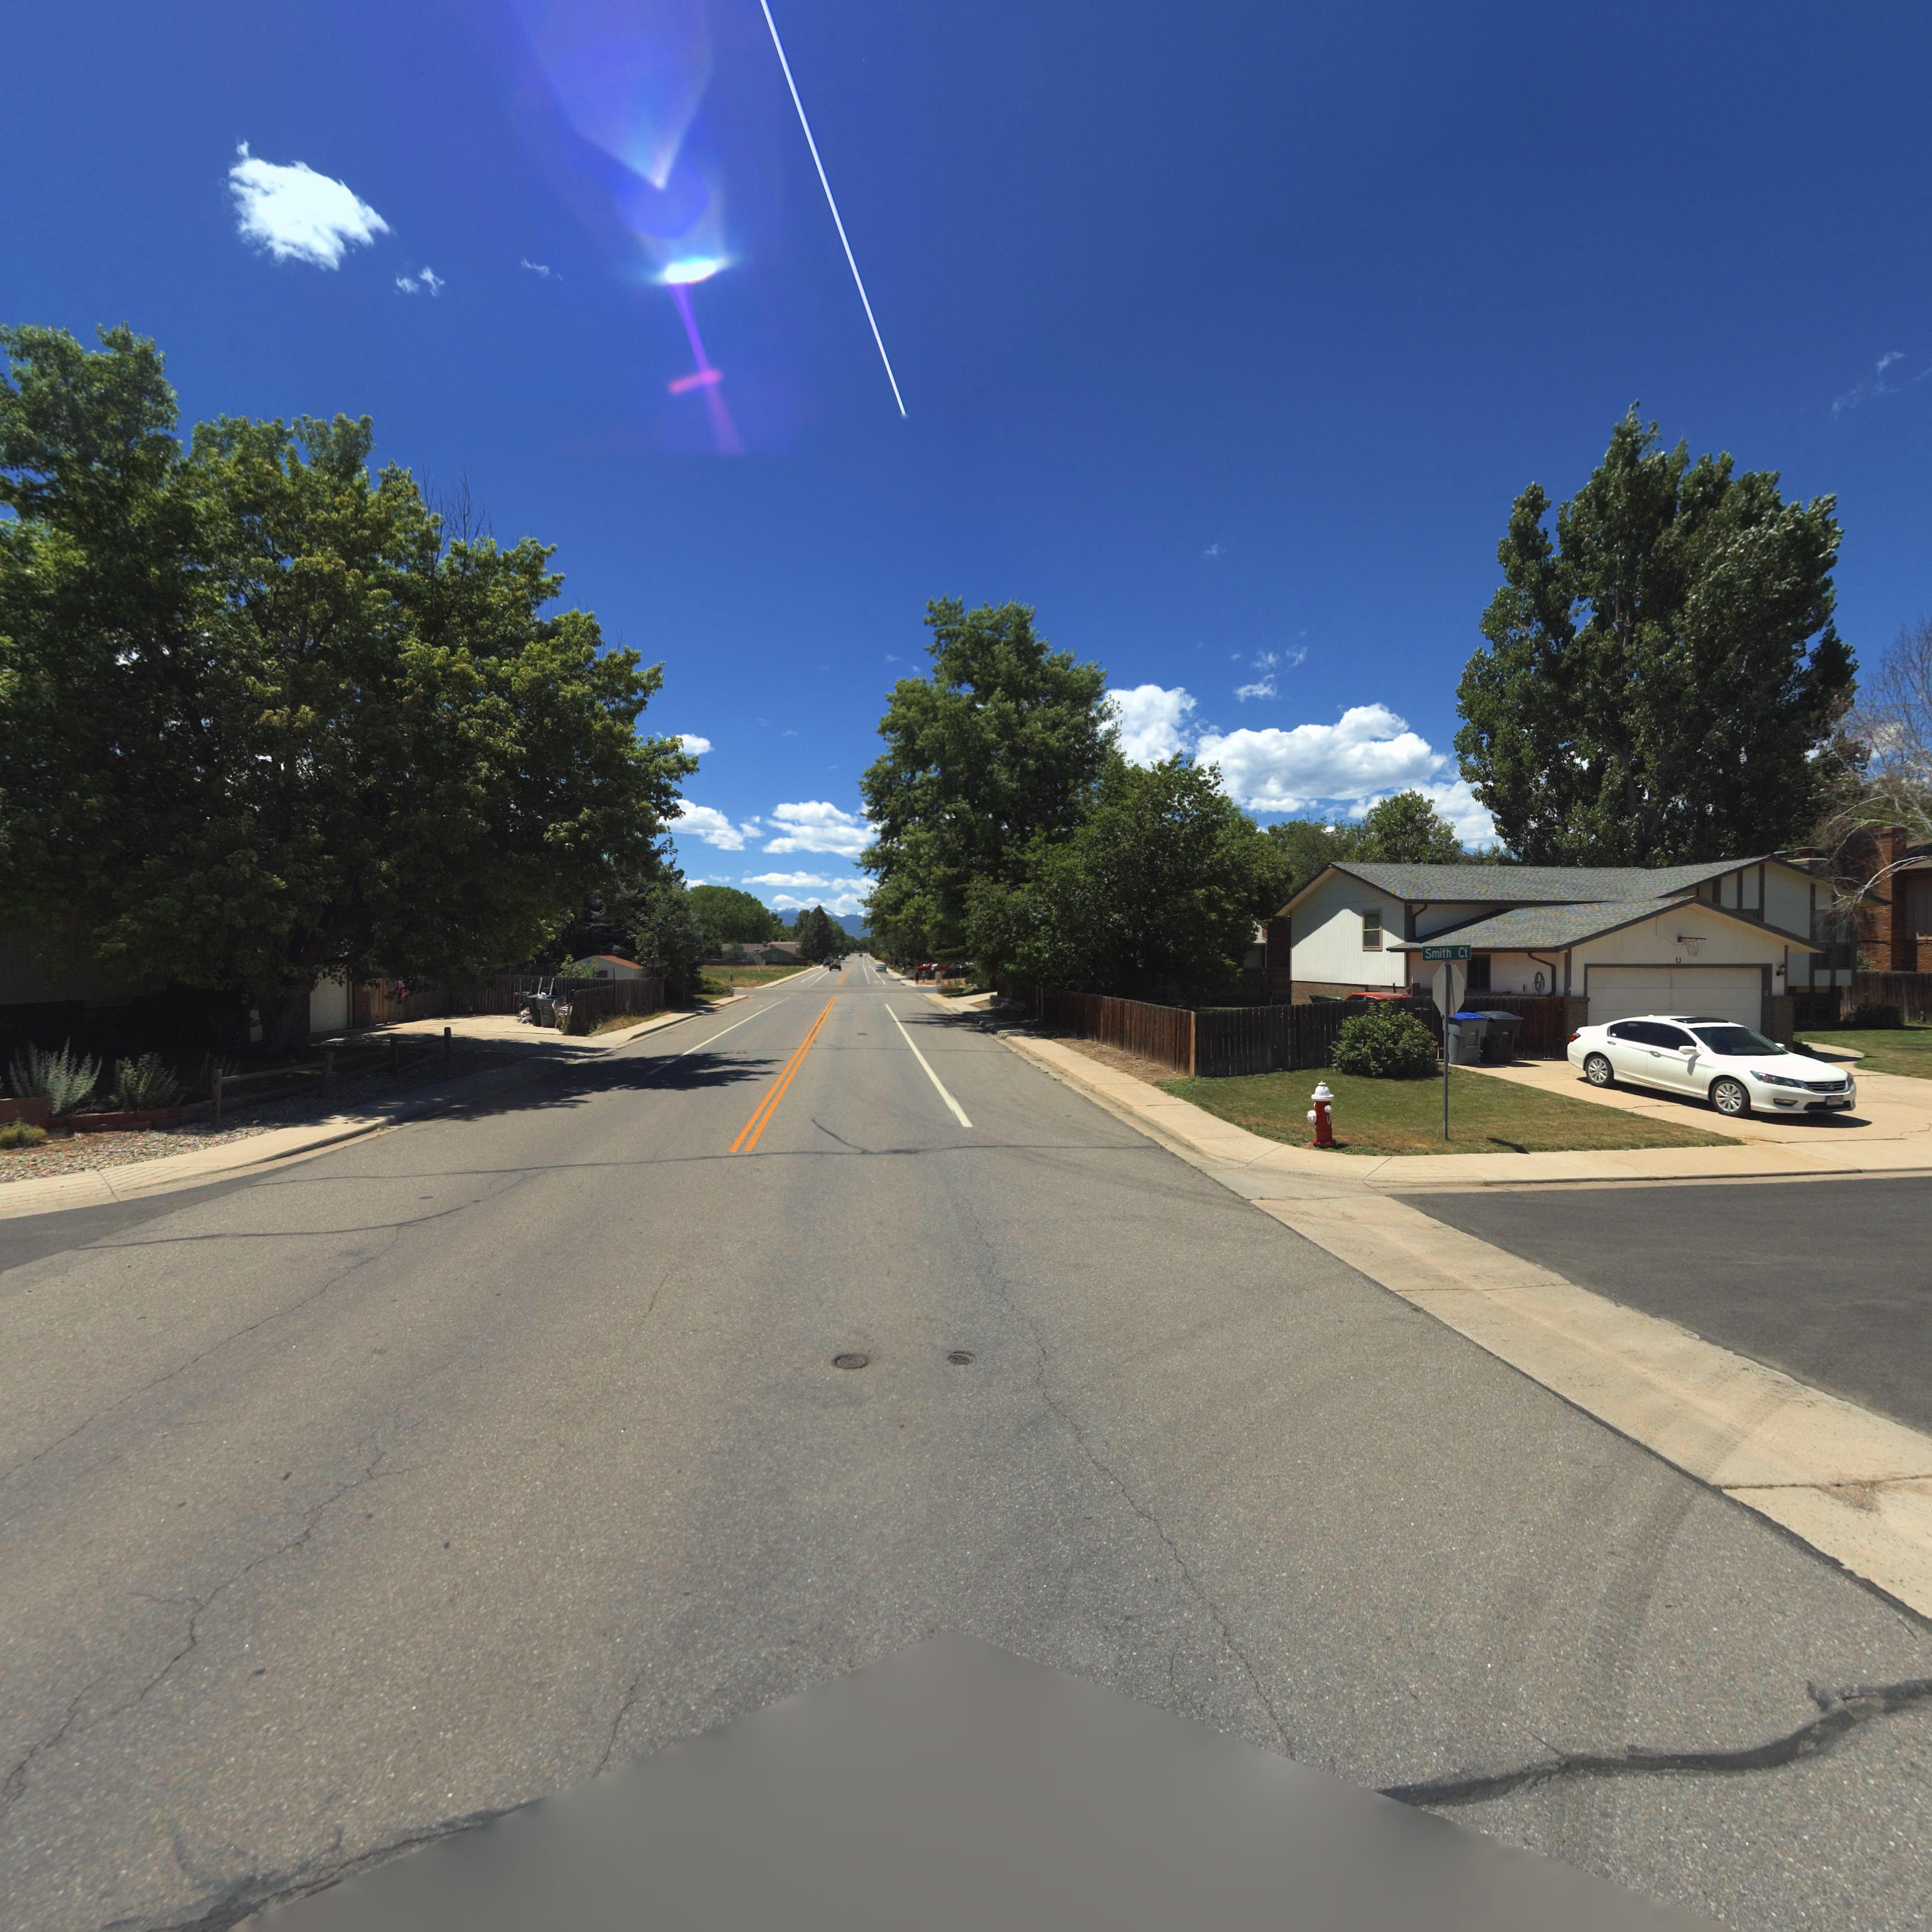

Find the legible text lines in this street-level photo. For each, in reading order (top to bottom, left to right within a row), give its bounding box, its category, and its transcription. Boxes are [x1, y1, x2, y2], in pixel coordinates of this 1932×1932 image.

[1425, 947, 1468, 959] StreetName: Smith Ct